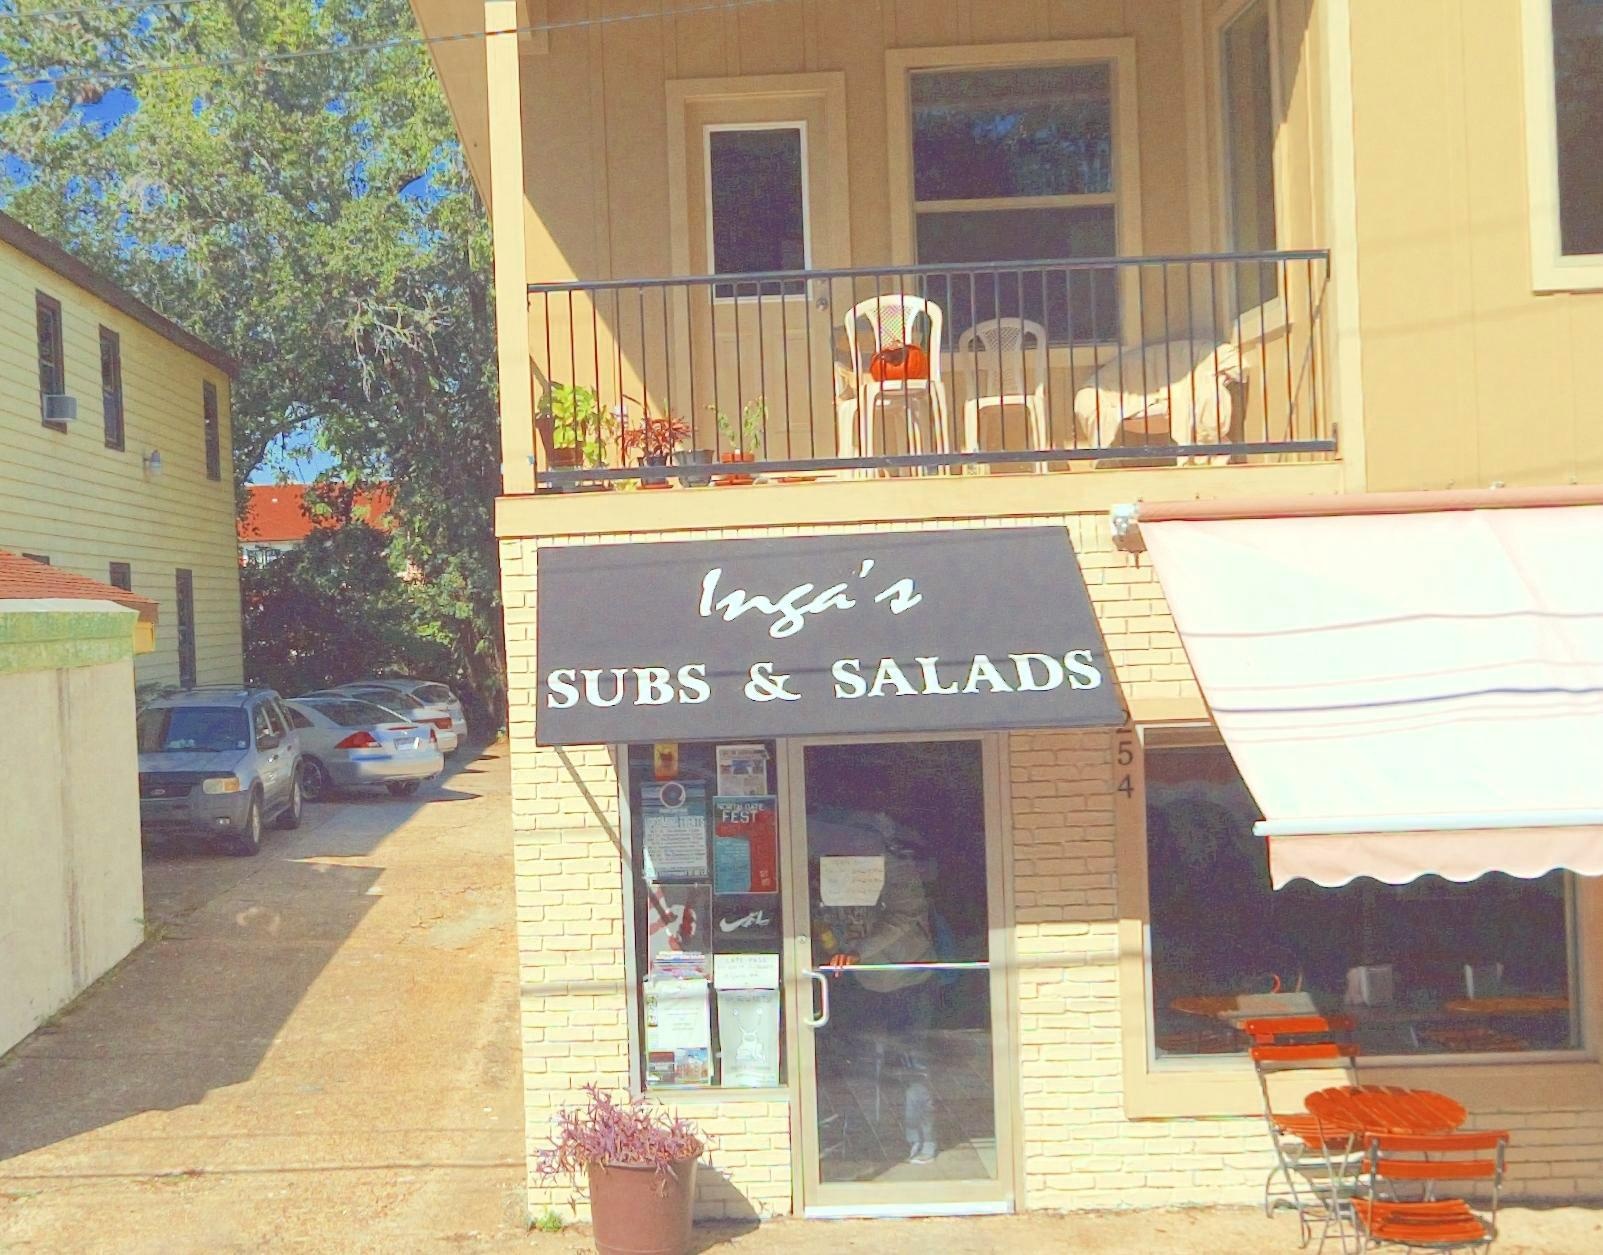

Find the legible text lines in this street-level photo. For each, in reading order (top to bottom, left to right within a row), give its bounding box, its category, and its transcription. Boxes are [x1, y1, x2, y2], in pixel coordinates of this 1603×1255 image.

[696, 557, 928, 641] BusinessName: Inga's
[545, 647, 1109, 710] BusinessName: SUBS & SALADS
[1113, 707, 1136, 801] StreetNumber: *54
[721, 808, 760, 825] None: FEST